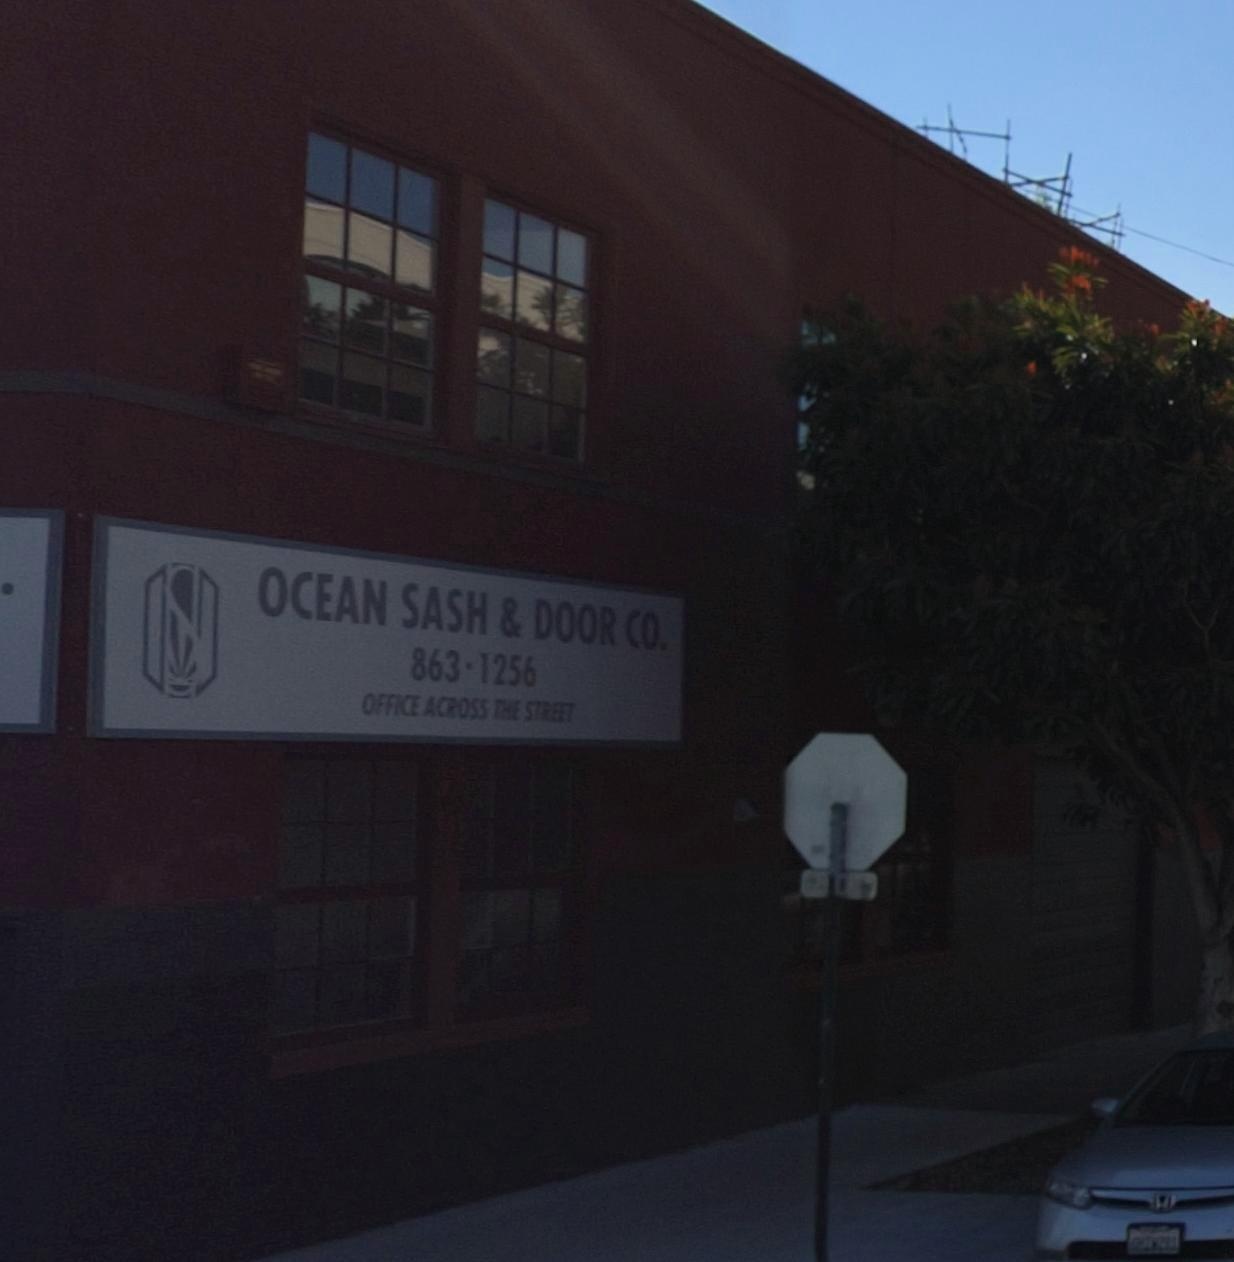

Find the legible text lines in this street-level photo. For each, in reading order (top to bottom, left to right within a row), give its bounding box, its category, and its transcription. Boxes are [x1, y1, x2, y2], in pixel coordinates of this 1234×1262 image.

[256, 564, 671, 653] BusinessName: Ocean Sash & Door Co.
[409, 644, 538, 687] None: 863-1256
[360, 692, 577, 722] None: OFFICE ACROSS THE STREET
[1131, 1236, 1179, 1251] None: ***W221